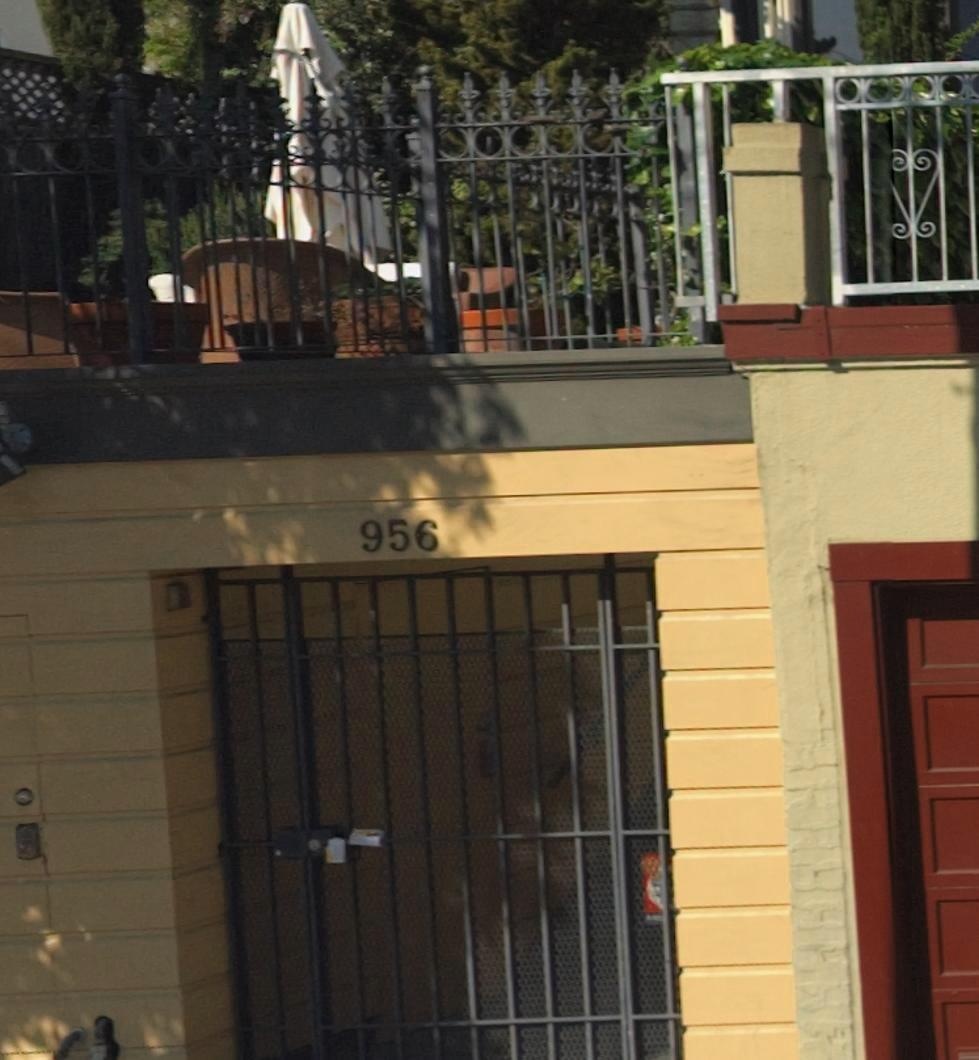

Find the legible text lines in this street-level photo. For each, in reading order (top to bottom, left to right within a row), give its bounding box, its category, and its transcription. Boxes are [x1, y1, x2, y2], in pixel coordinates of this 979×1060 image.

[358, 519, 440, 554] StreetNumber: 956